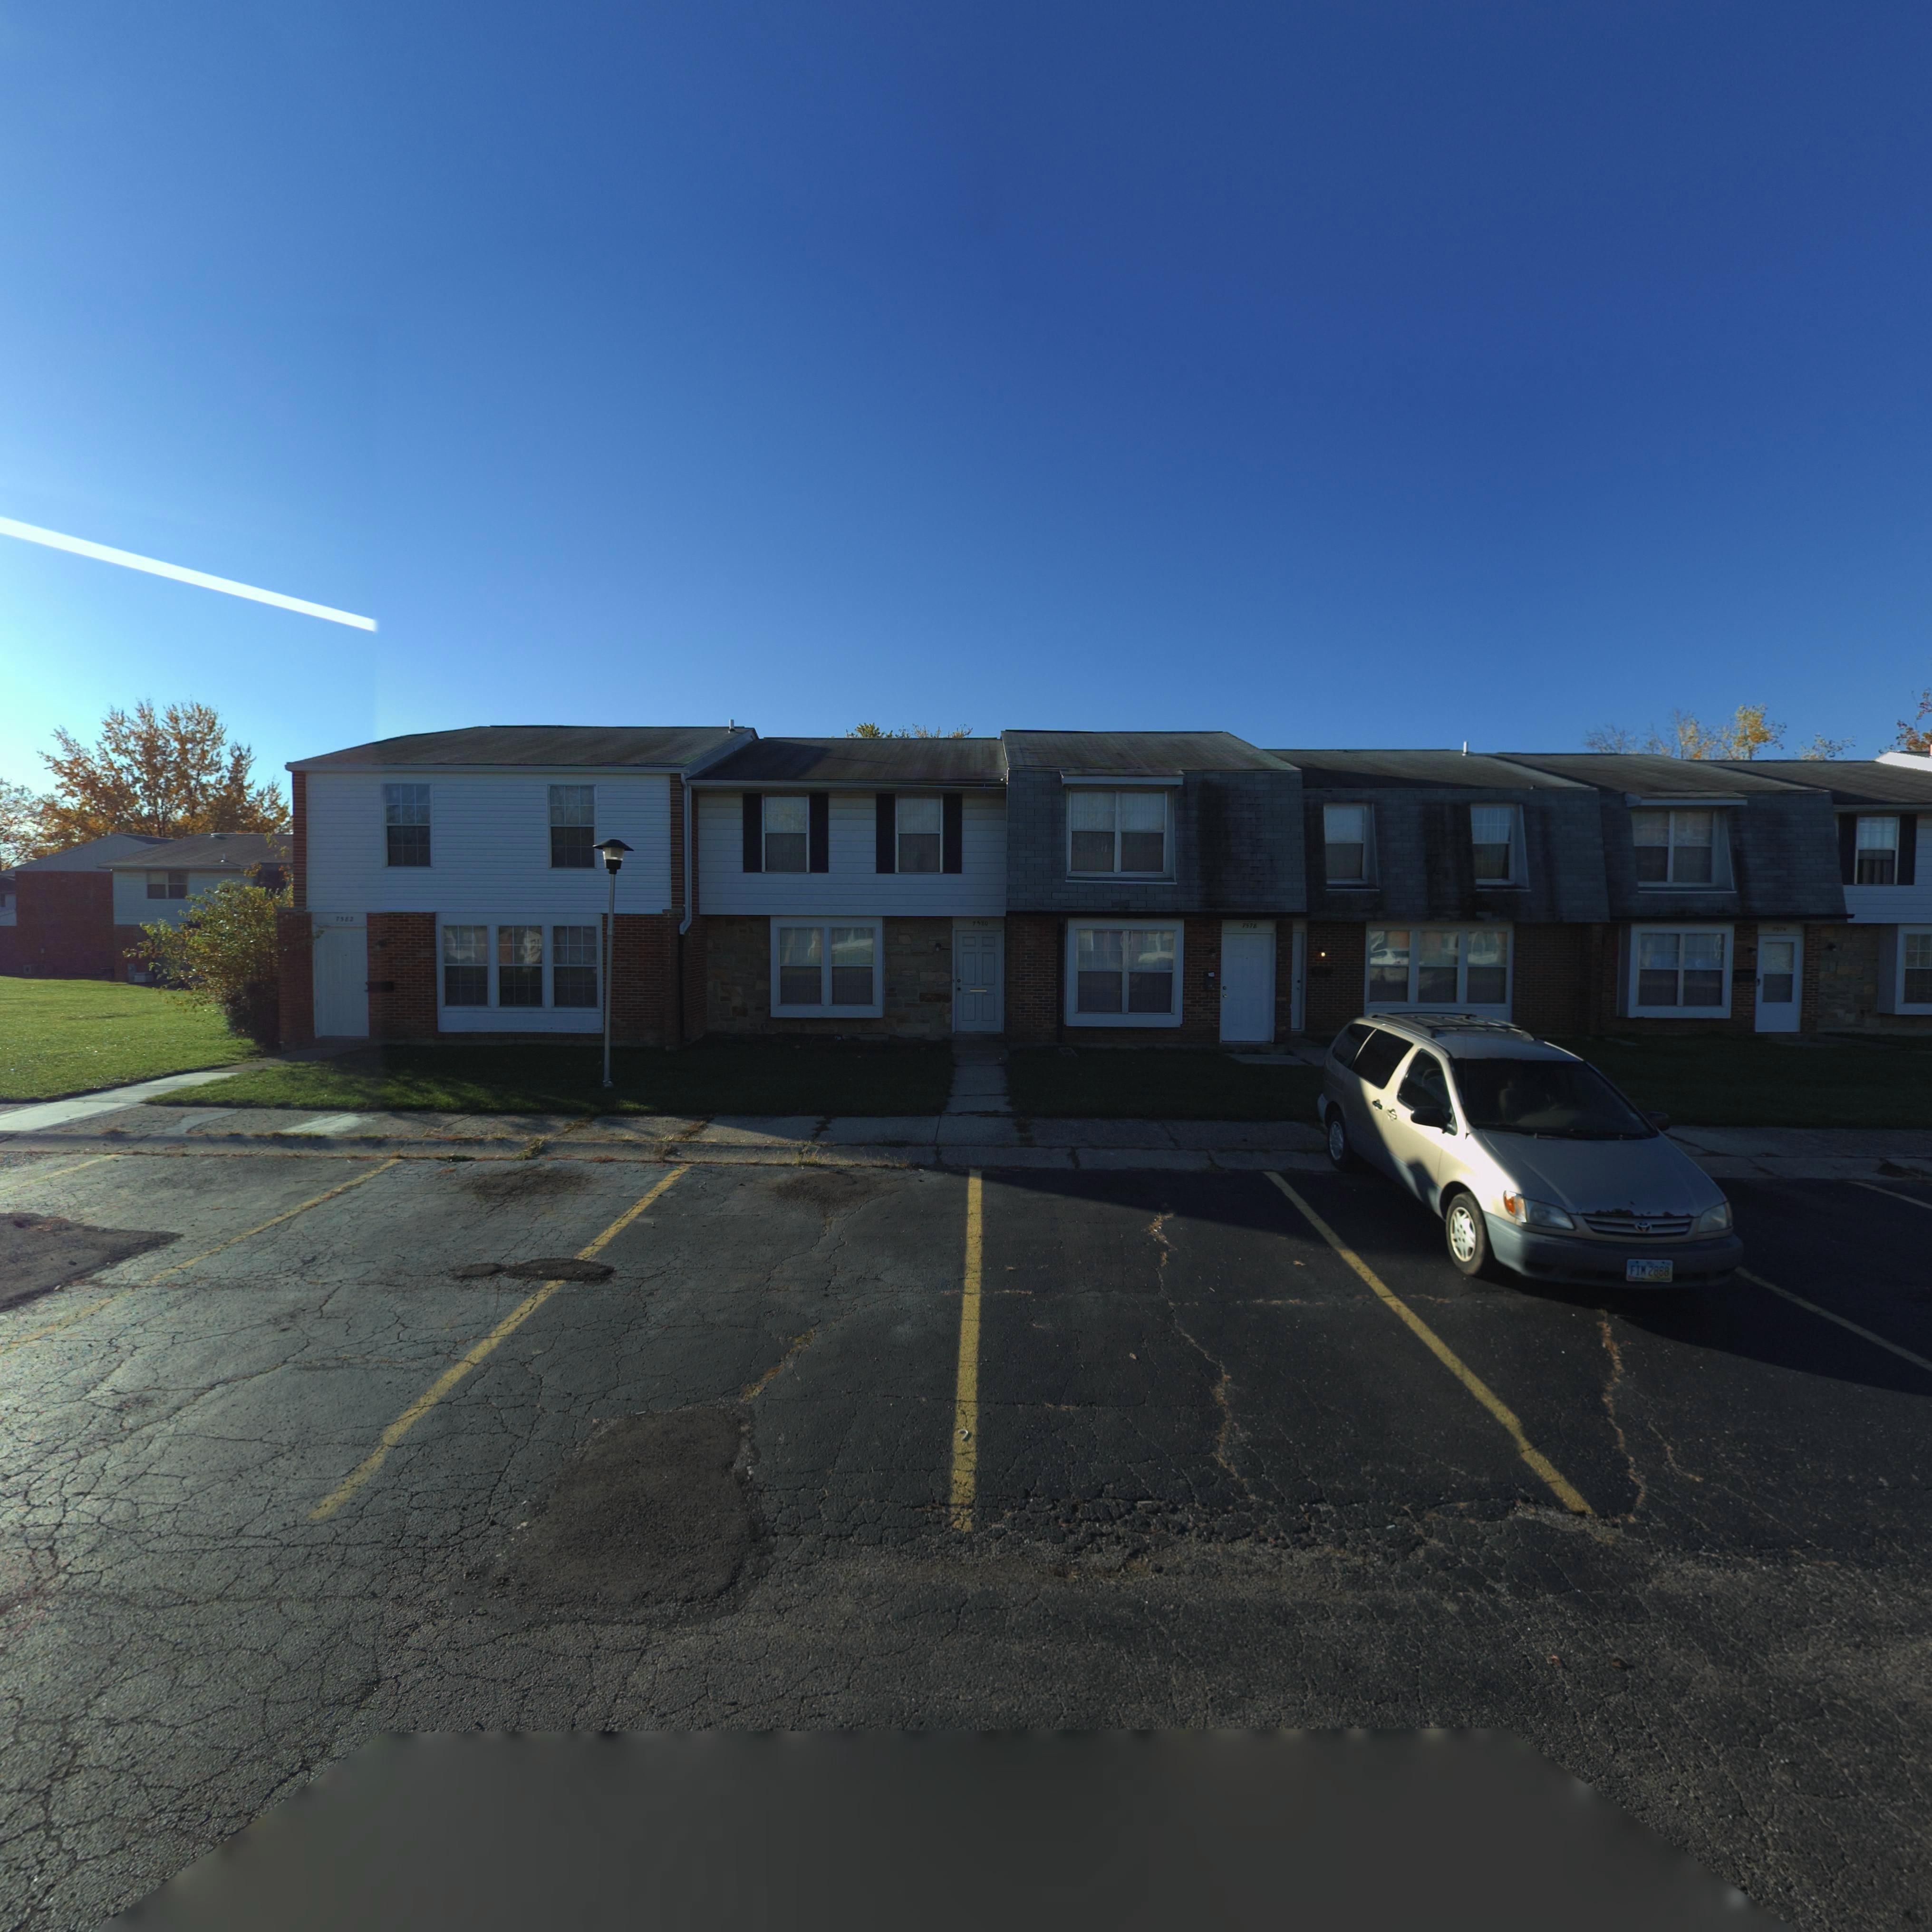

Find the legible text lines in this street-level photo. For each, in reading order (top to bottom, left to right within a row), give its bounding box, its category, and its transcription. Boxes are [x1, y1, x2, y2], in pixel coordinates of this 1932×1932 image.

[335, 916, 355, 923] StreetNumber: 7582
[972, 919, 989, 927] StreetNumber: 7580
[1241, 922, 1259, 929] StreetNumber: 7578